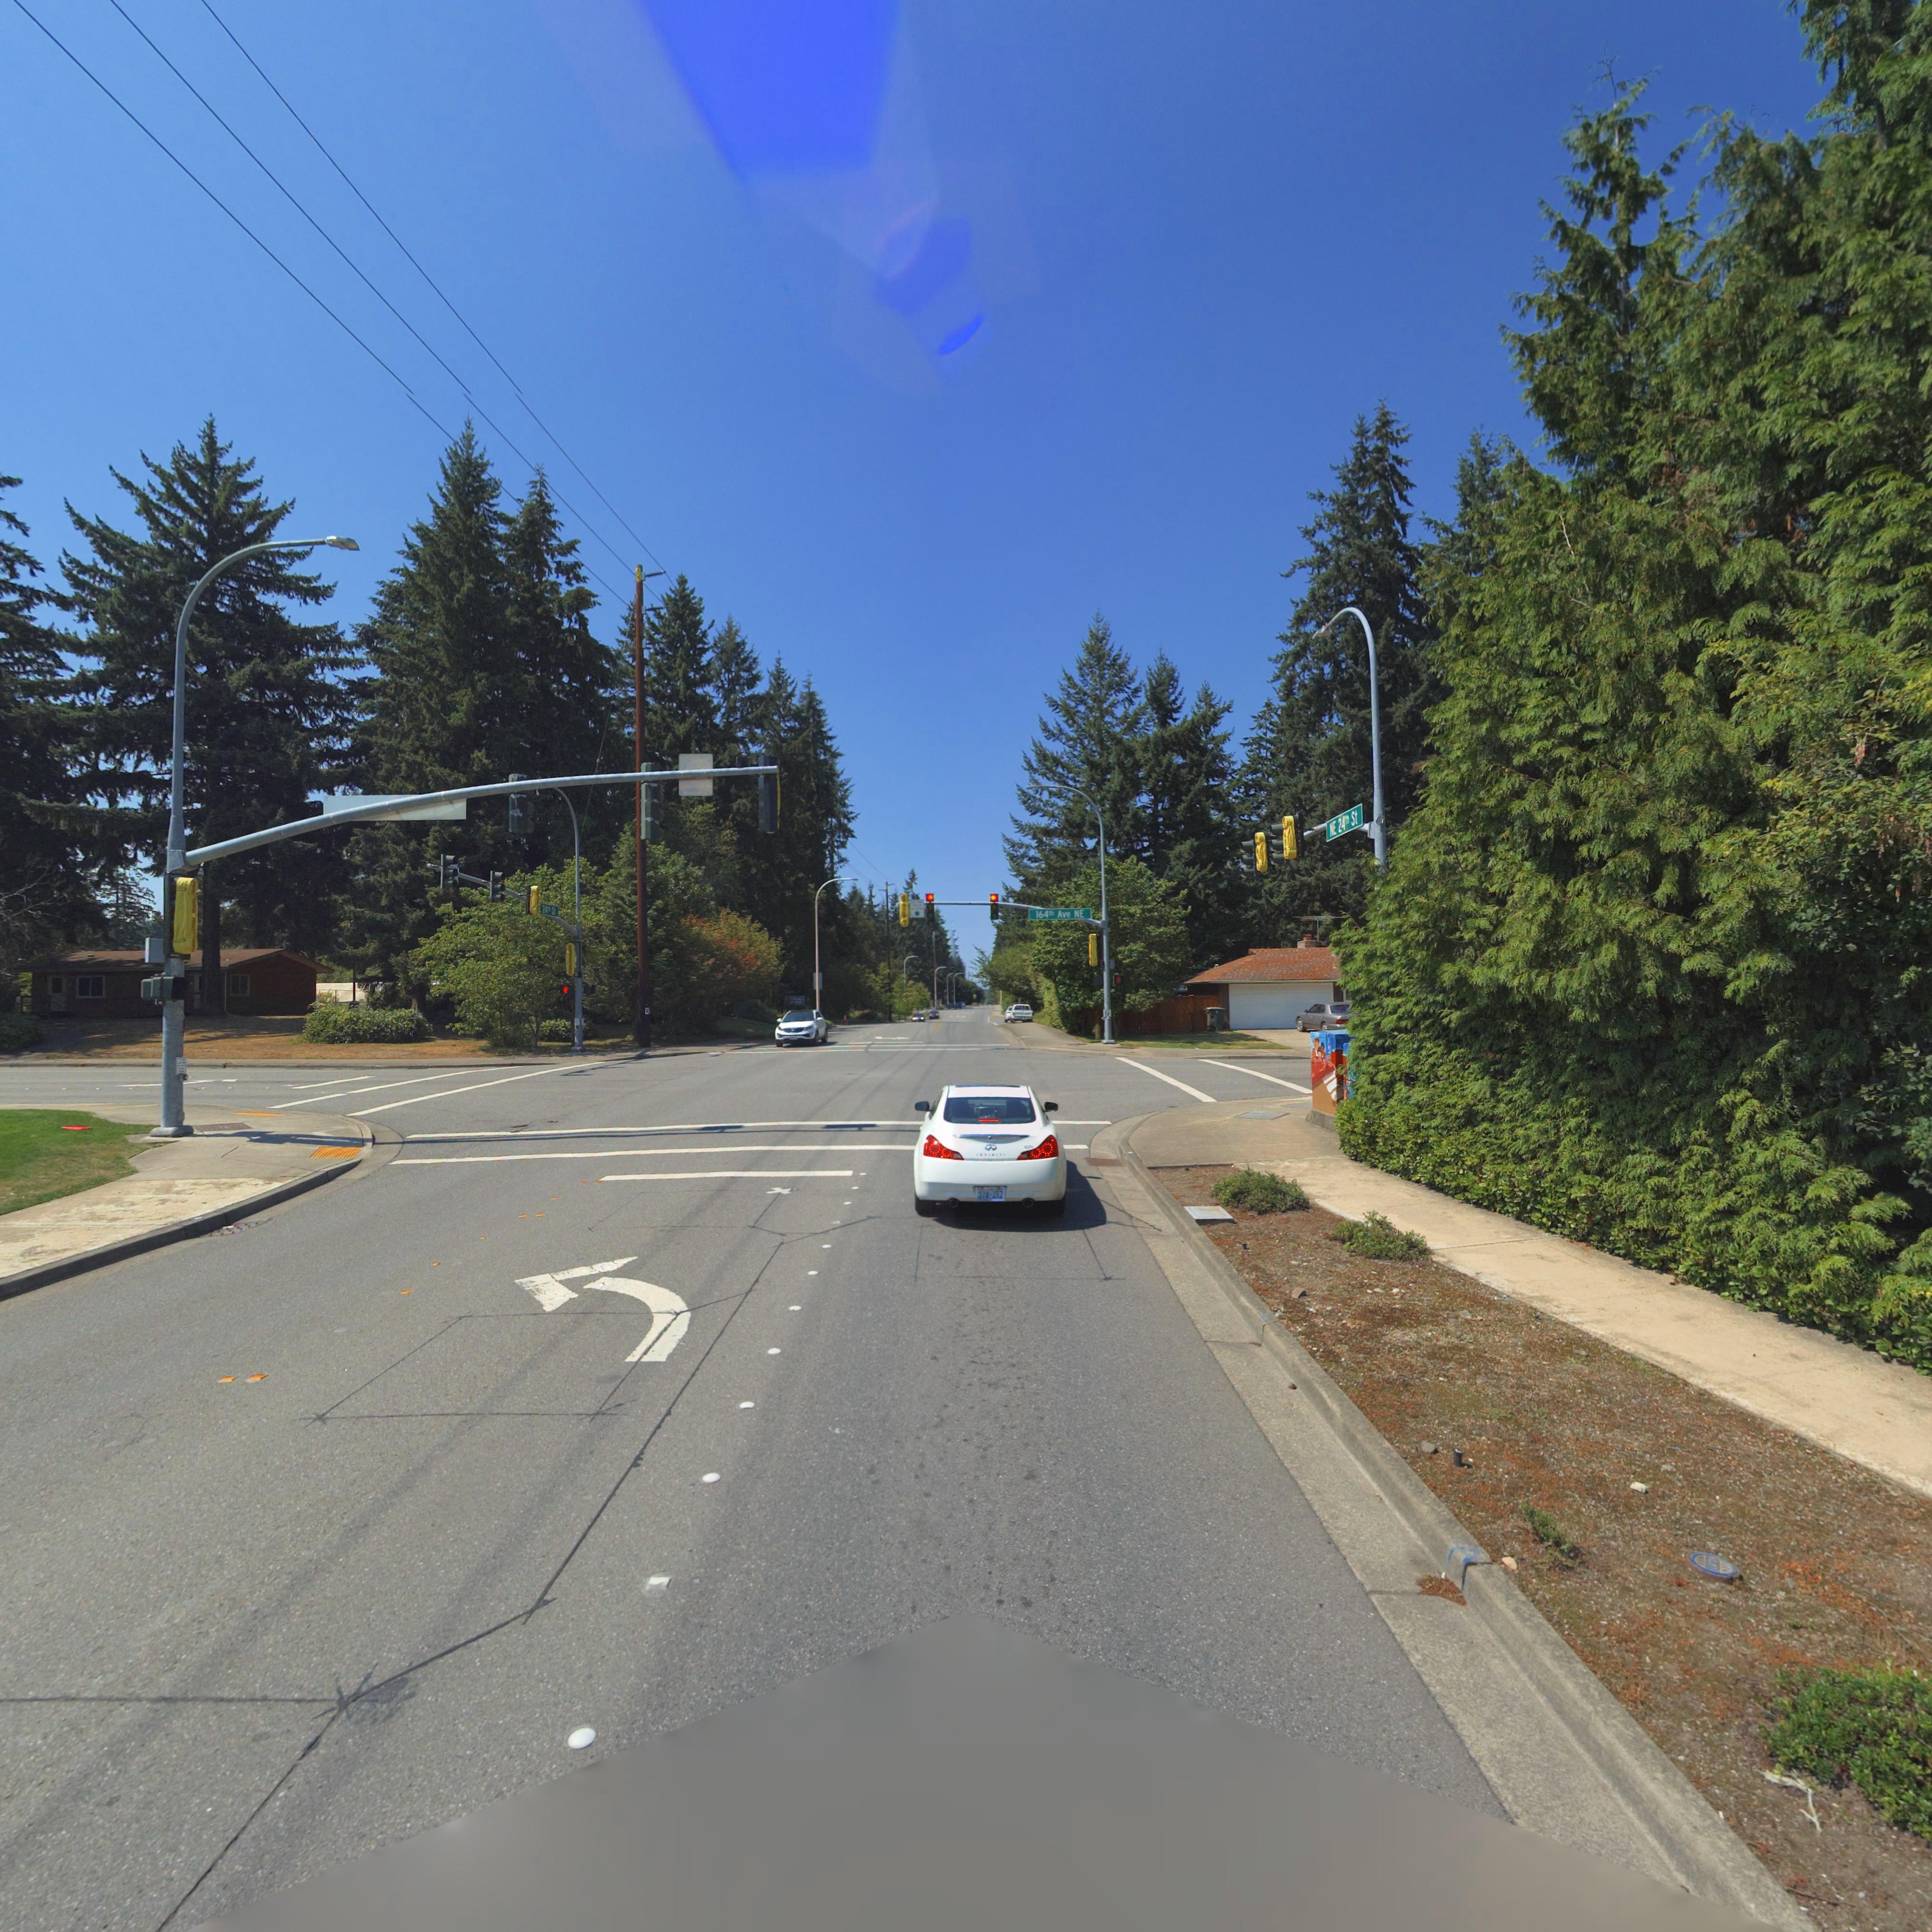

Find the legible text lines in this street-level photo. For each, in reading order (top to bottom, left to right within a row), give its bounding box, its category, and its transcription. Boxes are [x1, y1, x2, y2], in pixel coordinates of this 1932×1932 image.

[1329, 808, 1358, 837] StreetName: NE 24th St
[541, 904, 556, 916] StreetName: 24* St
[1035, 909, 1084, 918] StreetName: 164th Ave NE